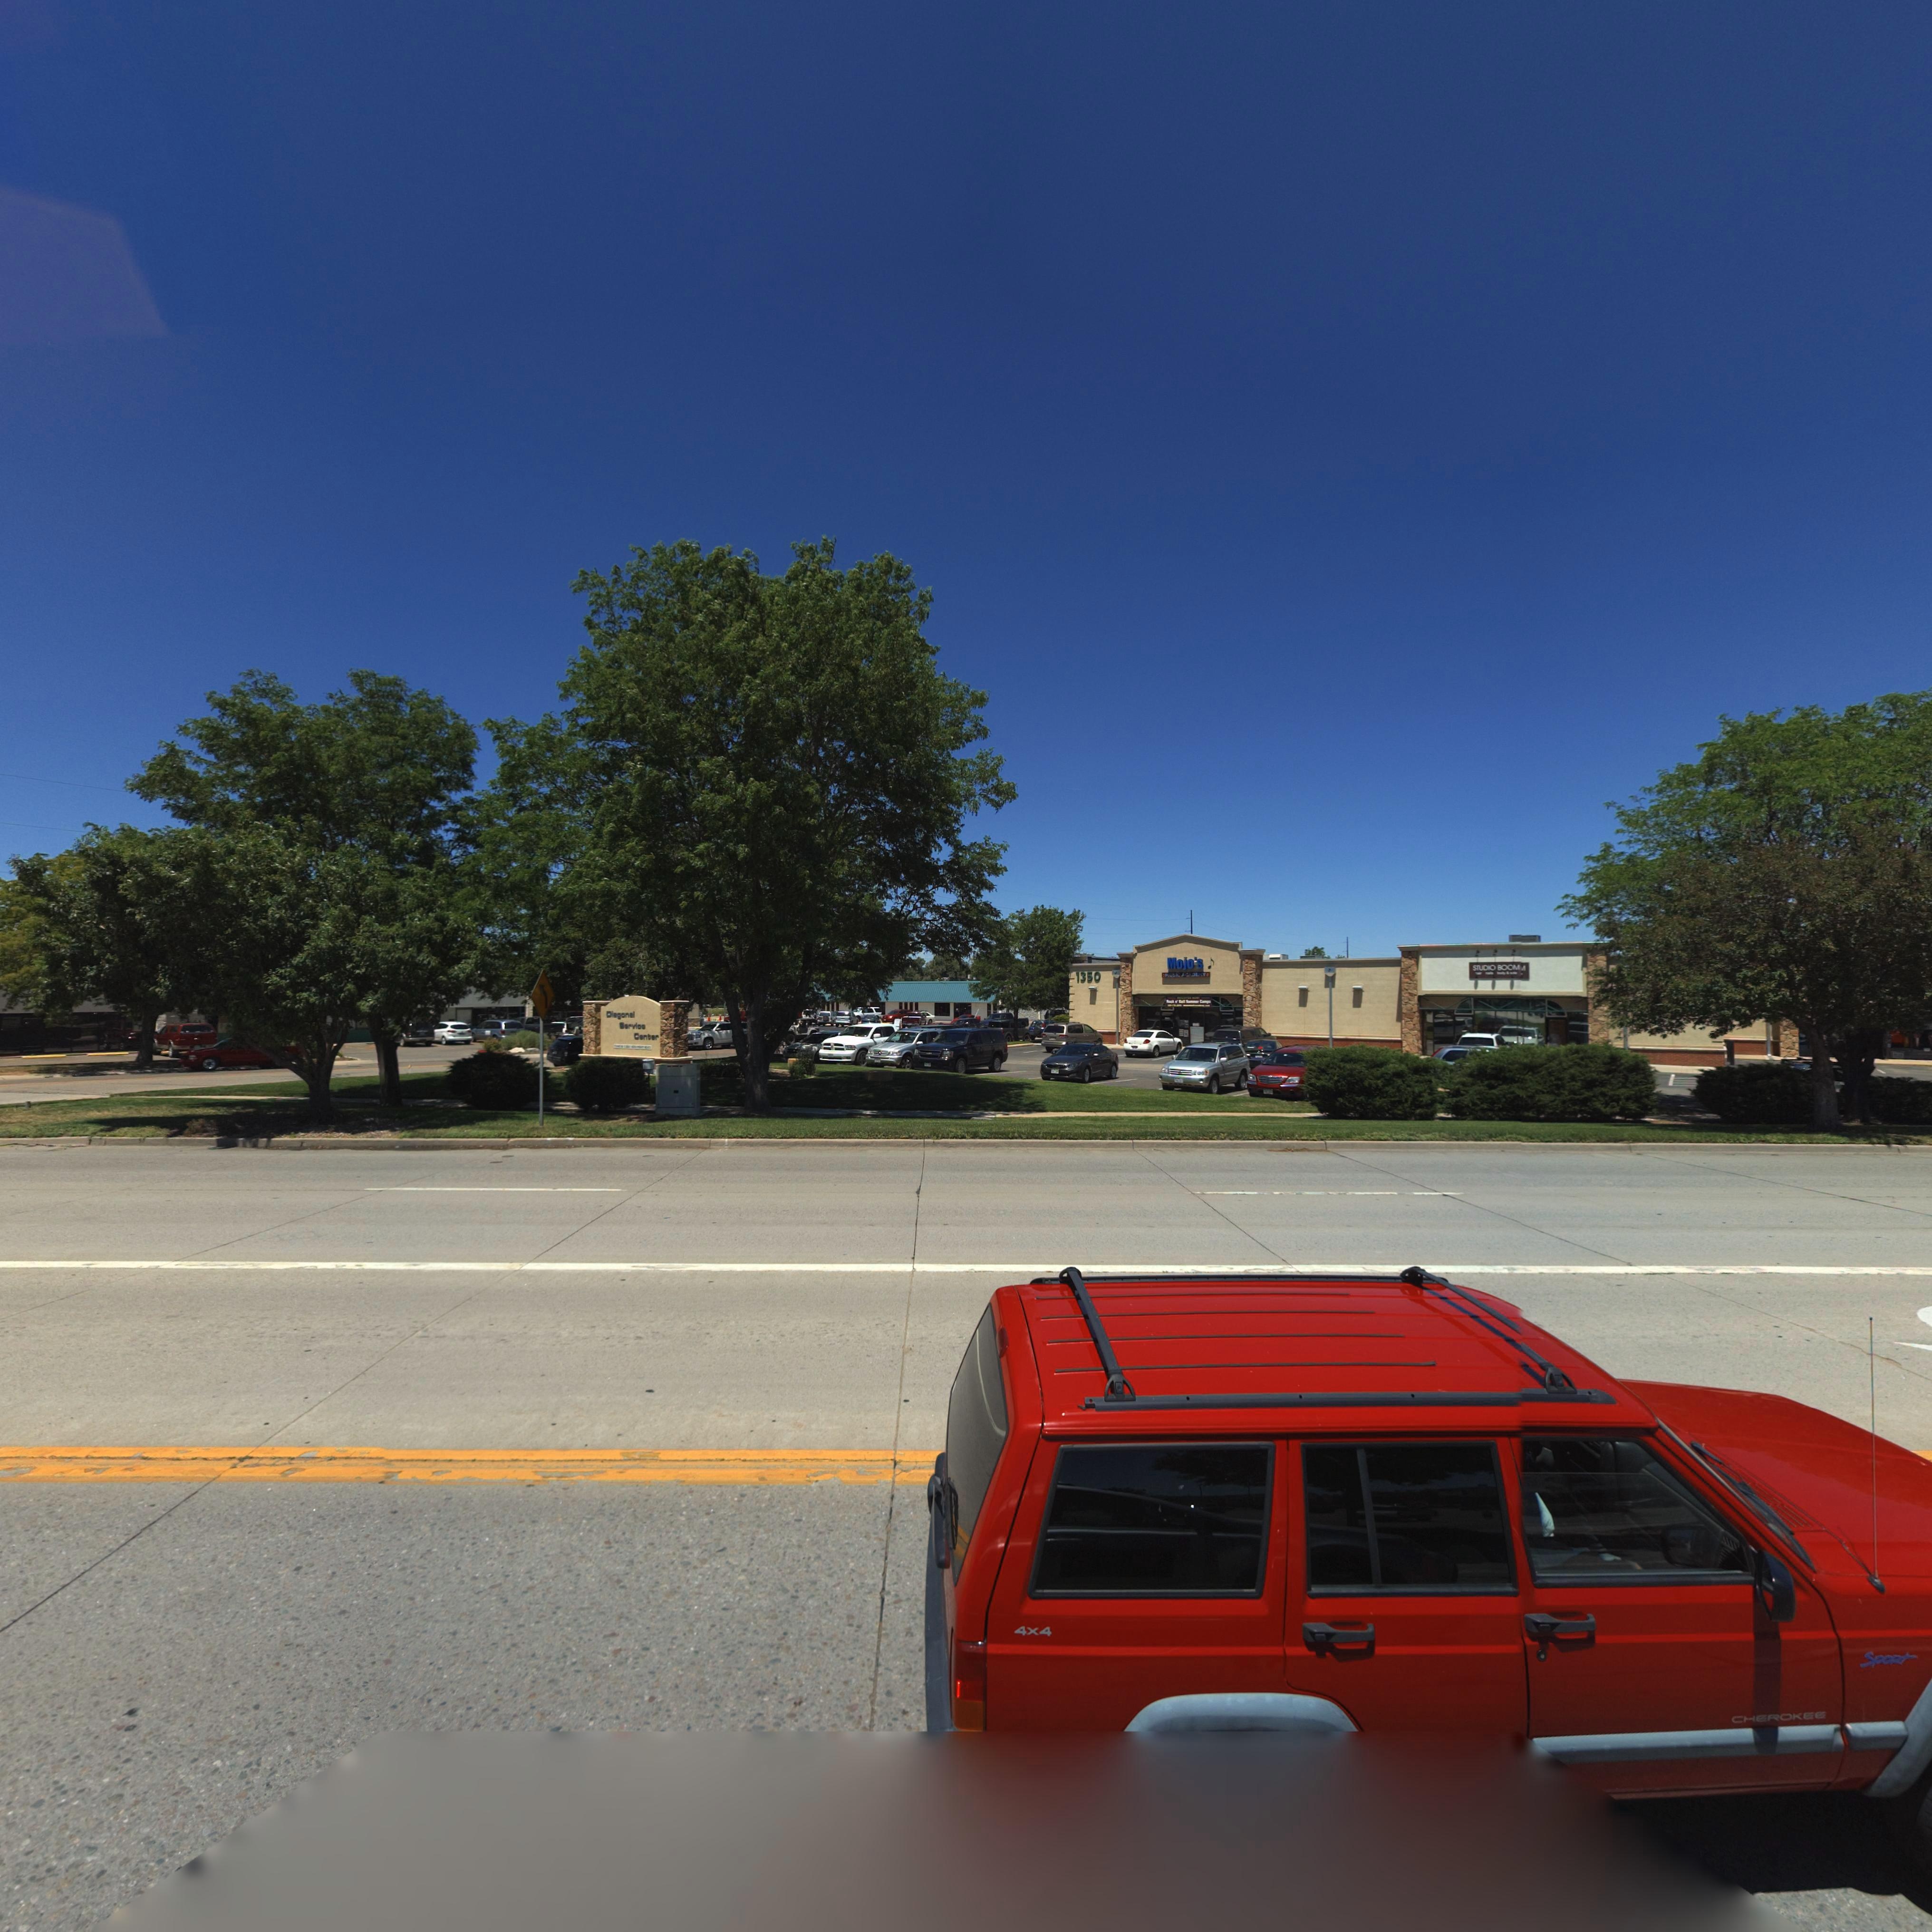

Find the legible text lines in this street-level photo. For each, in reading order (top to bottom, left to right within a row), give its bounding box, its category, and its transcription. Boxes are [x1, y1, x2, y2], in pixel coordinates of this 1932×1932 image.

[1167, 956, 1203, 970] BusinessName: Mojo's
[1472, 964, 1520, 971] BusinessName: STUDIO BOOM
[1075, 971, 1101, 981] StreetNumber: 1350
[1164, 972, 1207, 977] BusinessName: MUSIC ACADEMY
[606, 1010, 635, 1020] BusinessName: Diagonal
[618, 1021, 646, 1030] BusinessName: Service
[633, 1032, 659, 1041] BusinessName: Center